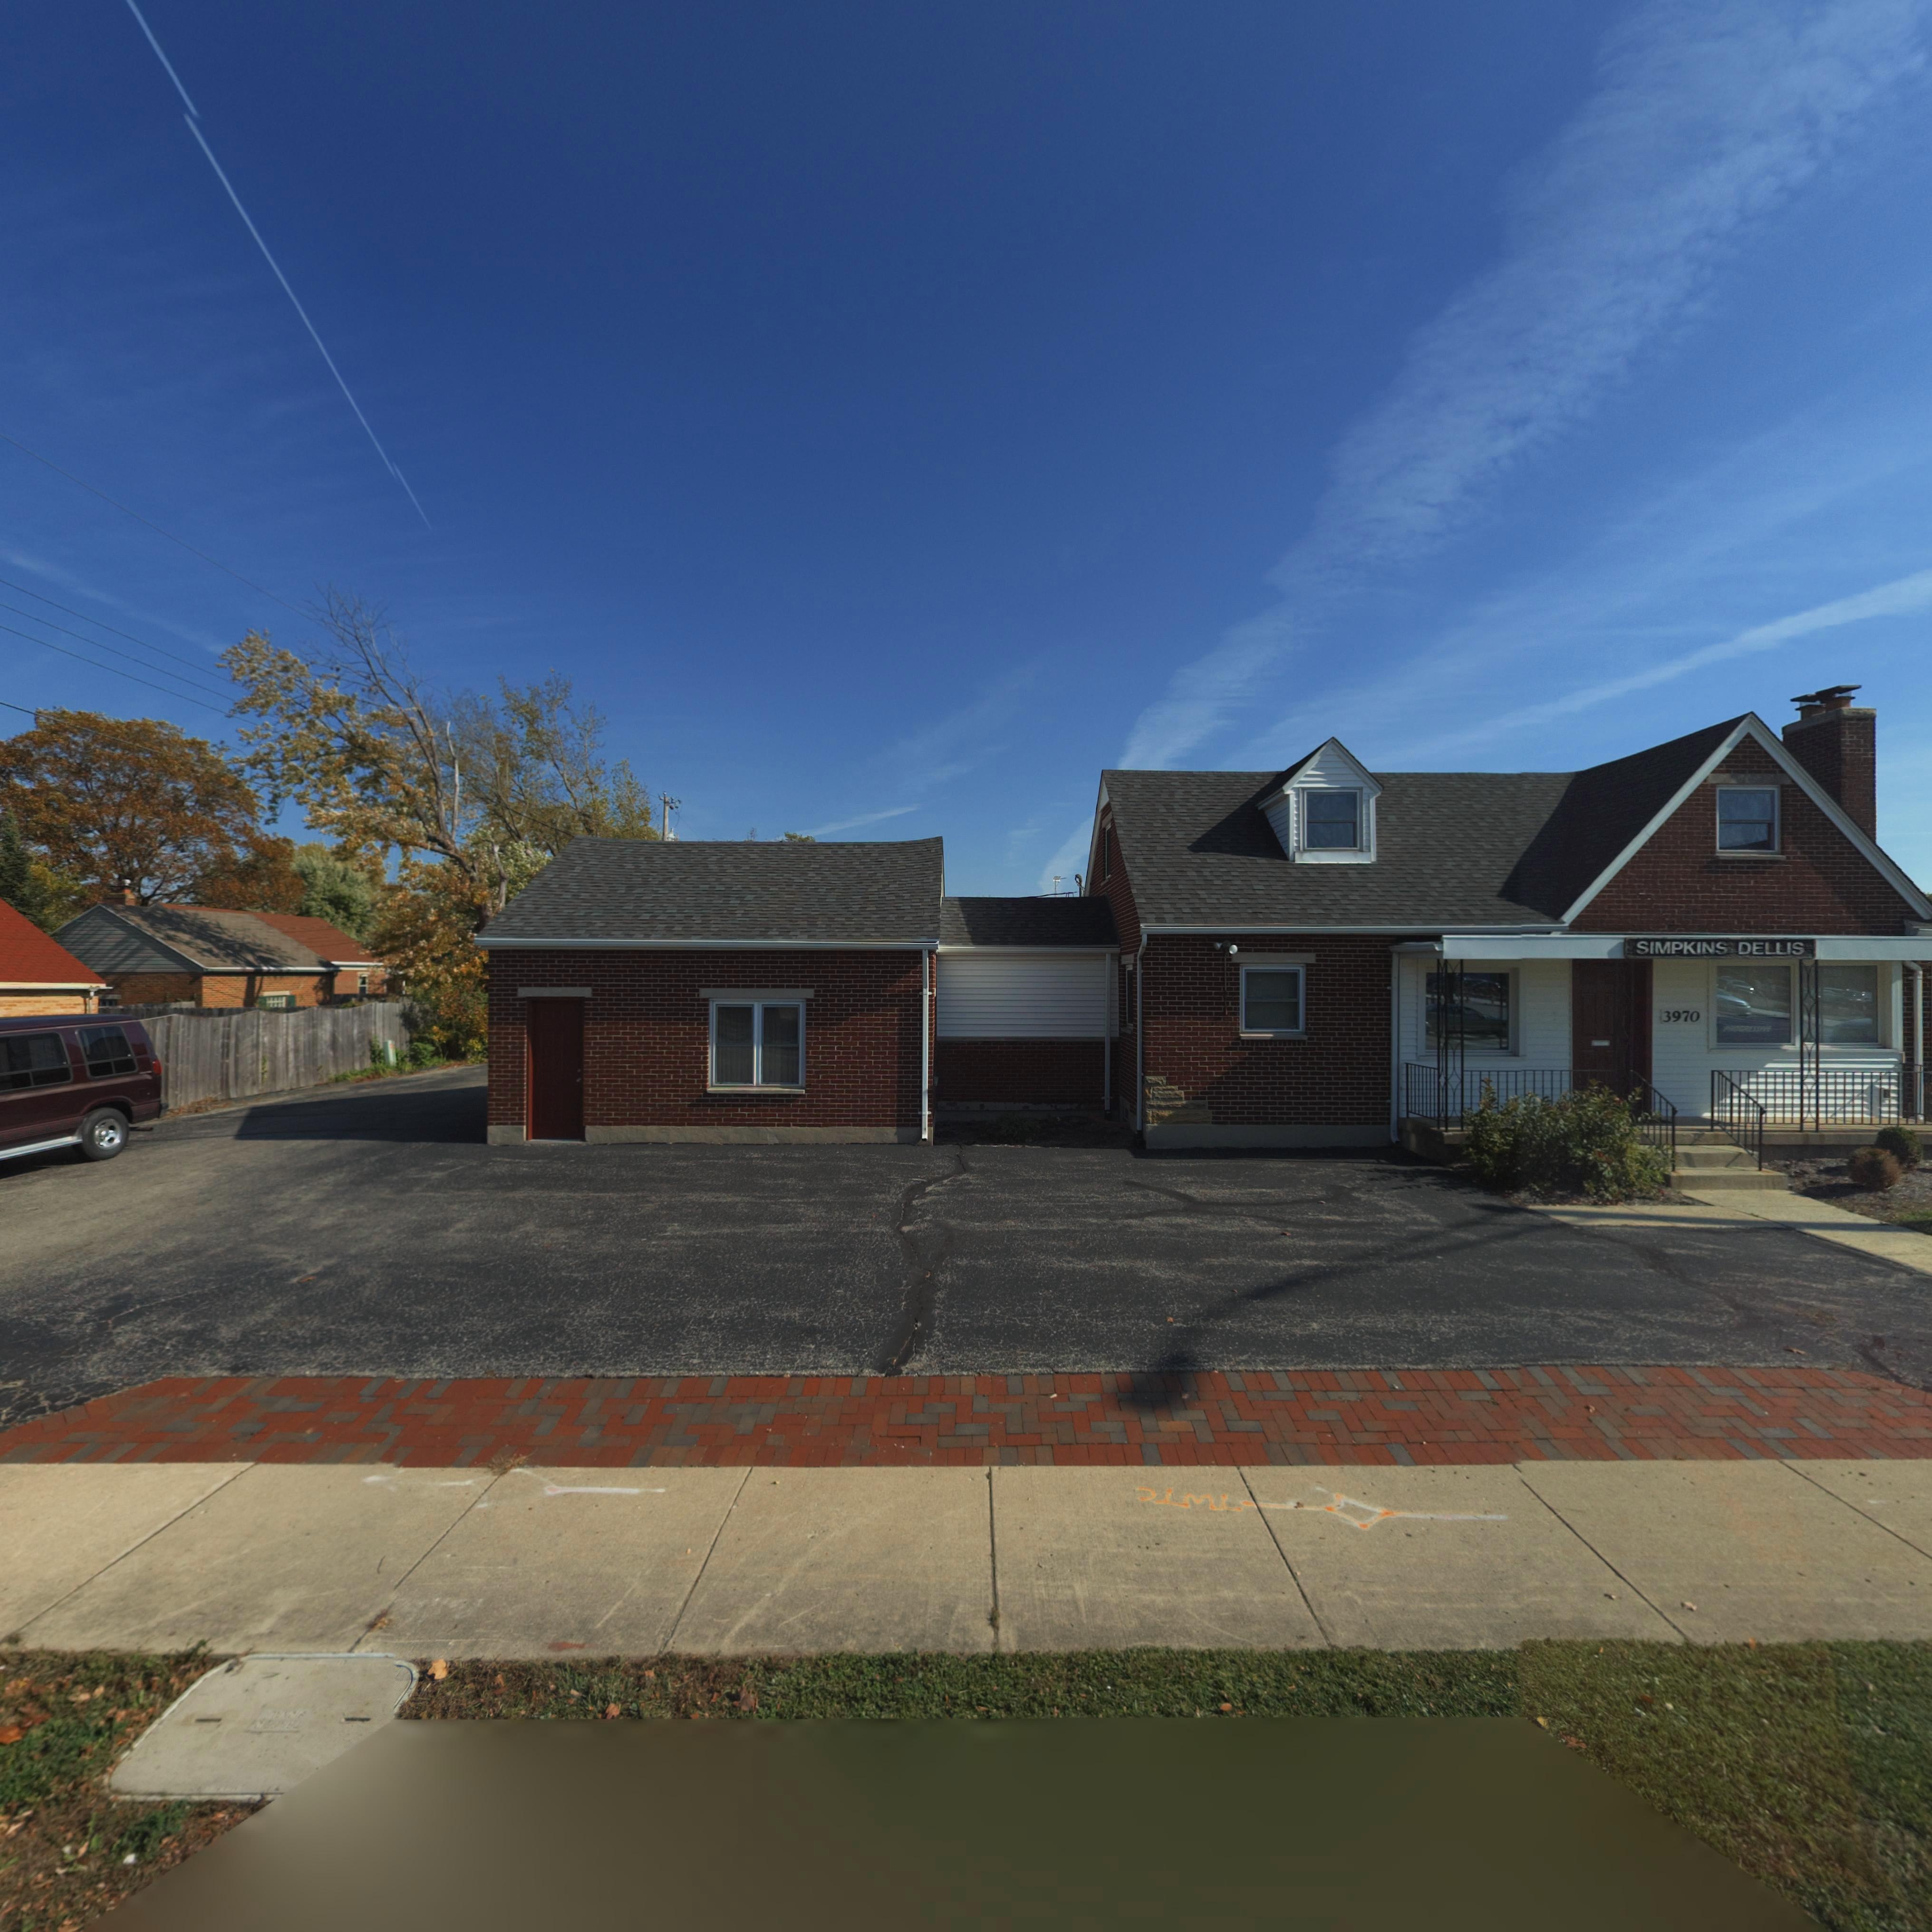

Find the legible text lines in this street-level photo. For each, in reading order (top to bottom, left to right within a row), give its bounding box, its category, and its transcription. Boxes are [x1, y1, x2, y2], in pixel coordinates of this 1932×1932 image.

[1636, 940, 1805, 955] None: SIMPKINS DELLIS
[1663, 1010, 1700, 1023] StreetNumber: 3970
[1722, 1025, 1772, 1032] None: P*OGR*SSIVE